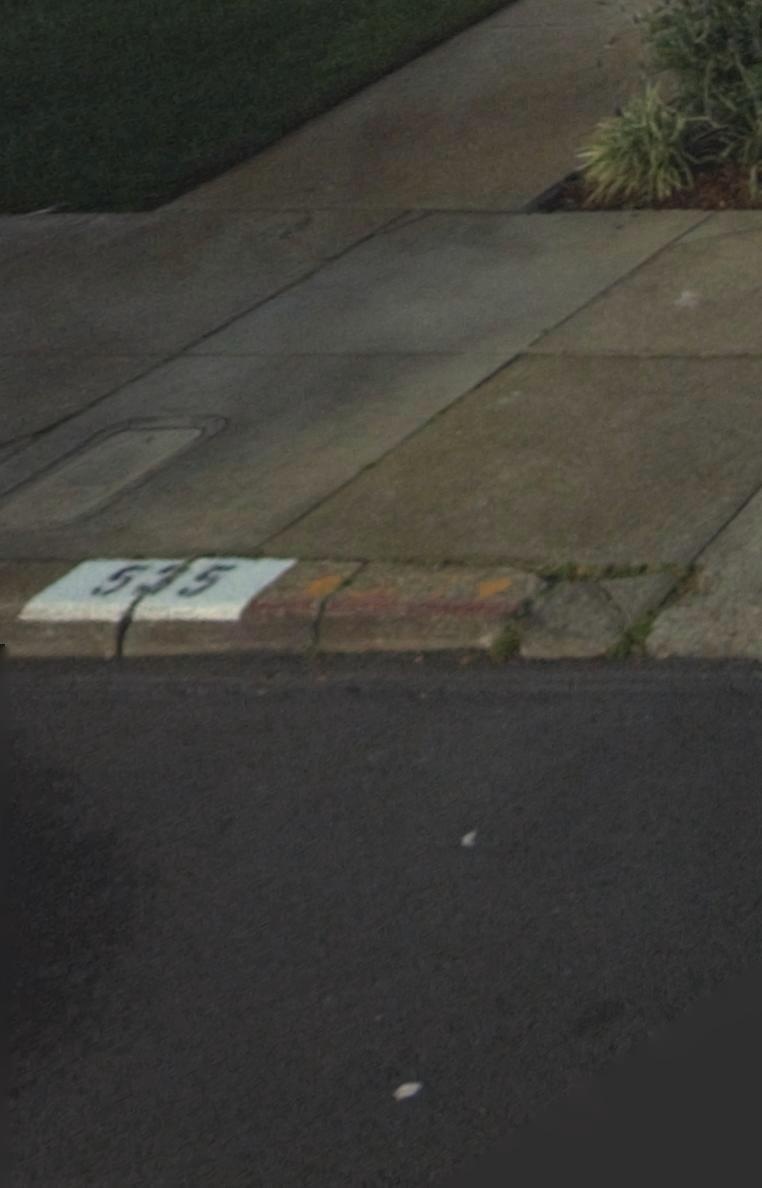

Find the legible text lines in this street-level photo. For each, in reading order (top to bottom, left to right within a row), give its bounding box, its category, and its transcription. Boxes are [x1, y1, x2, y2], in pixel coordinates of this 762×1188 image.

[82, 561, 243, 600] StreetNumber: 5*5